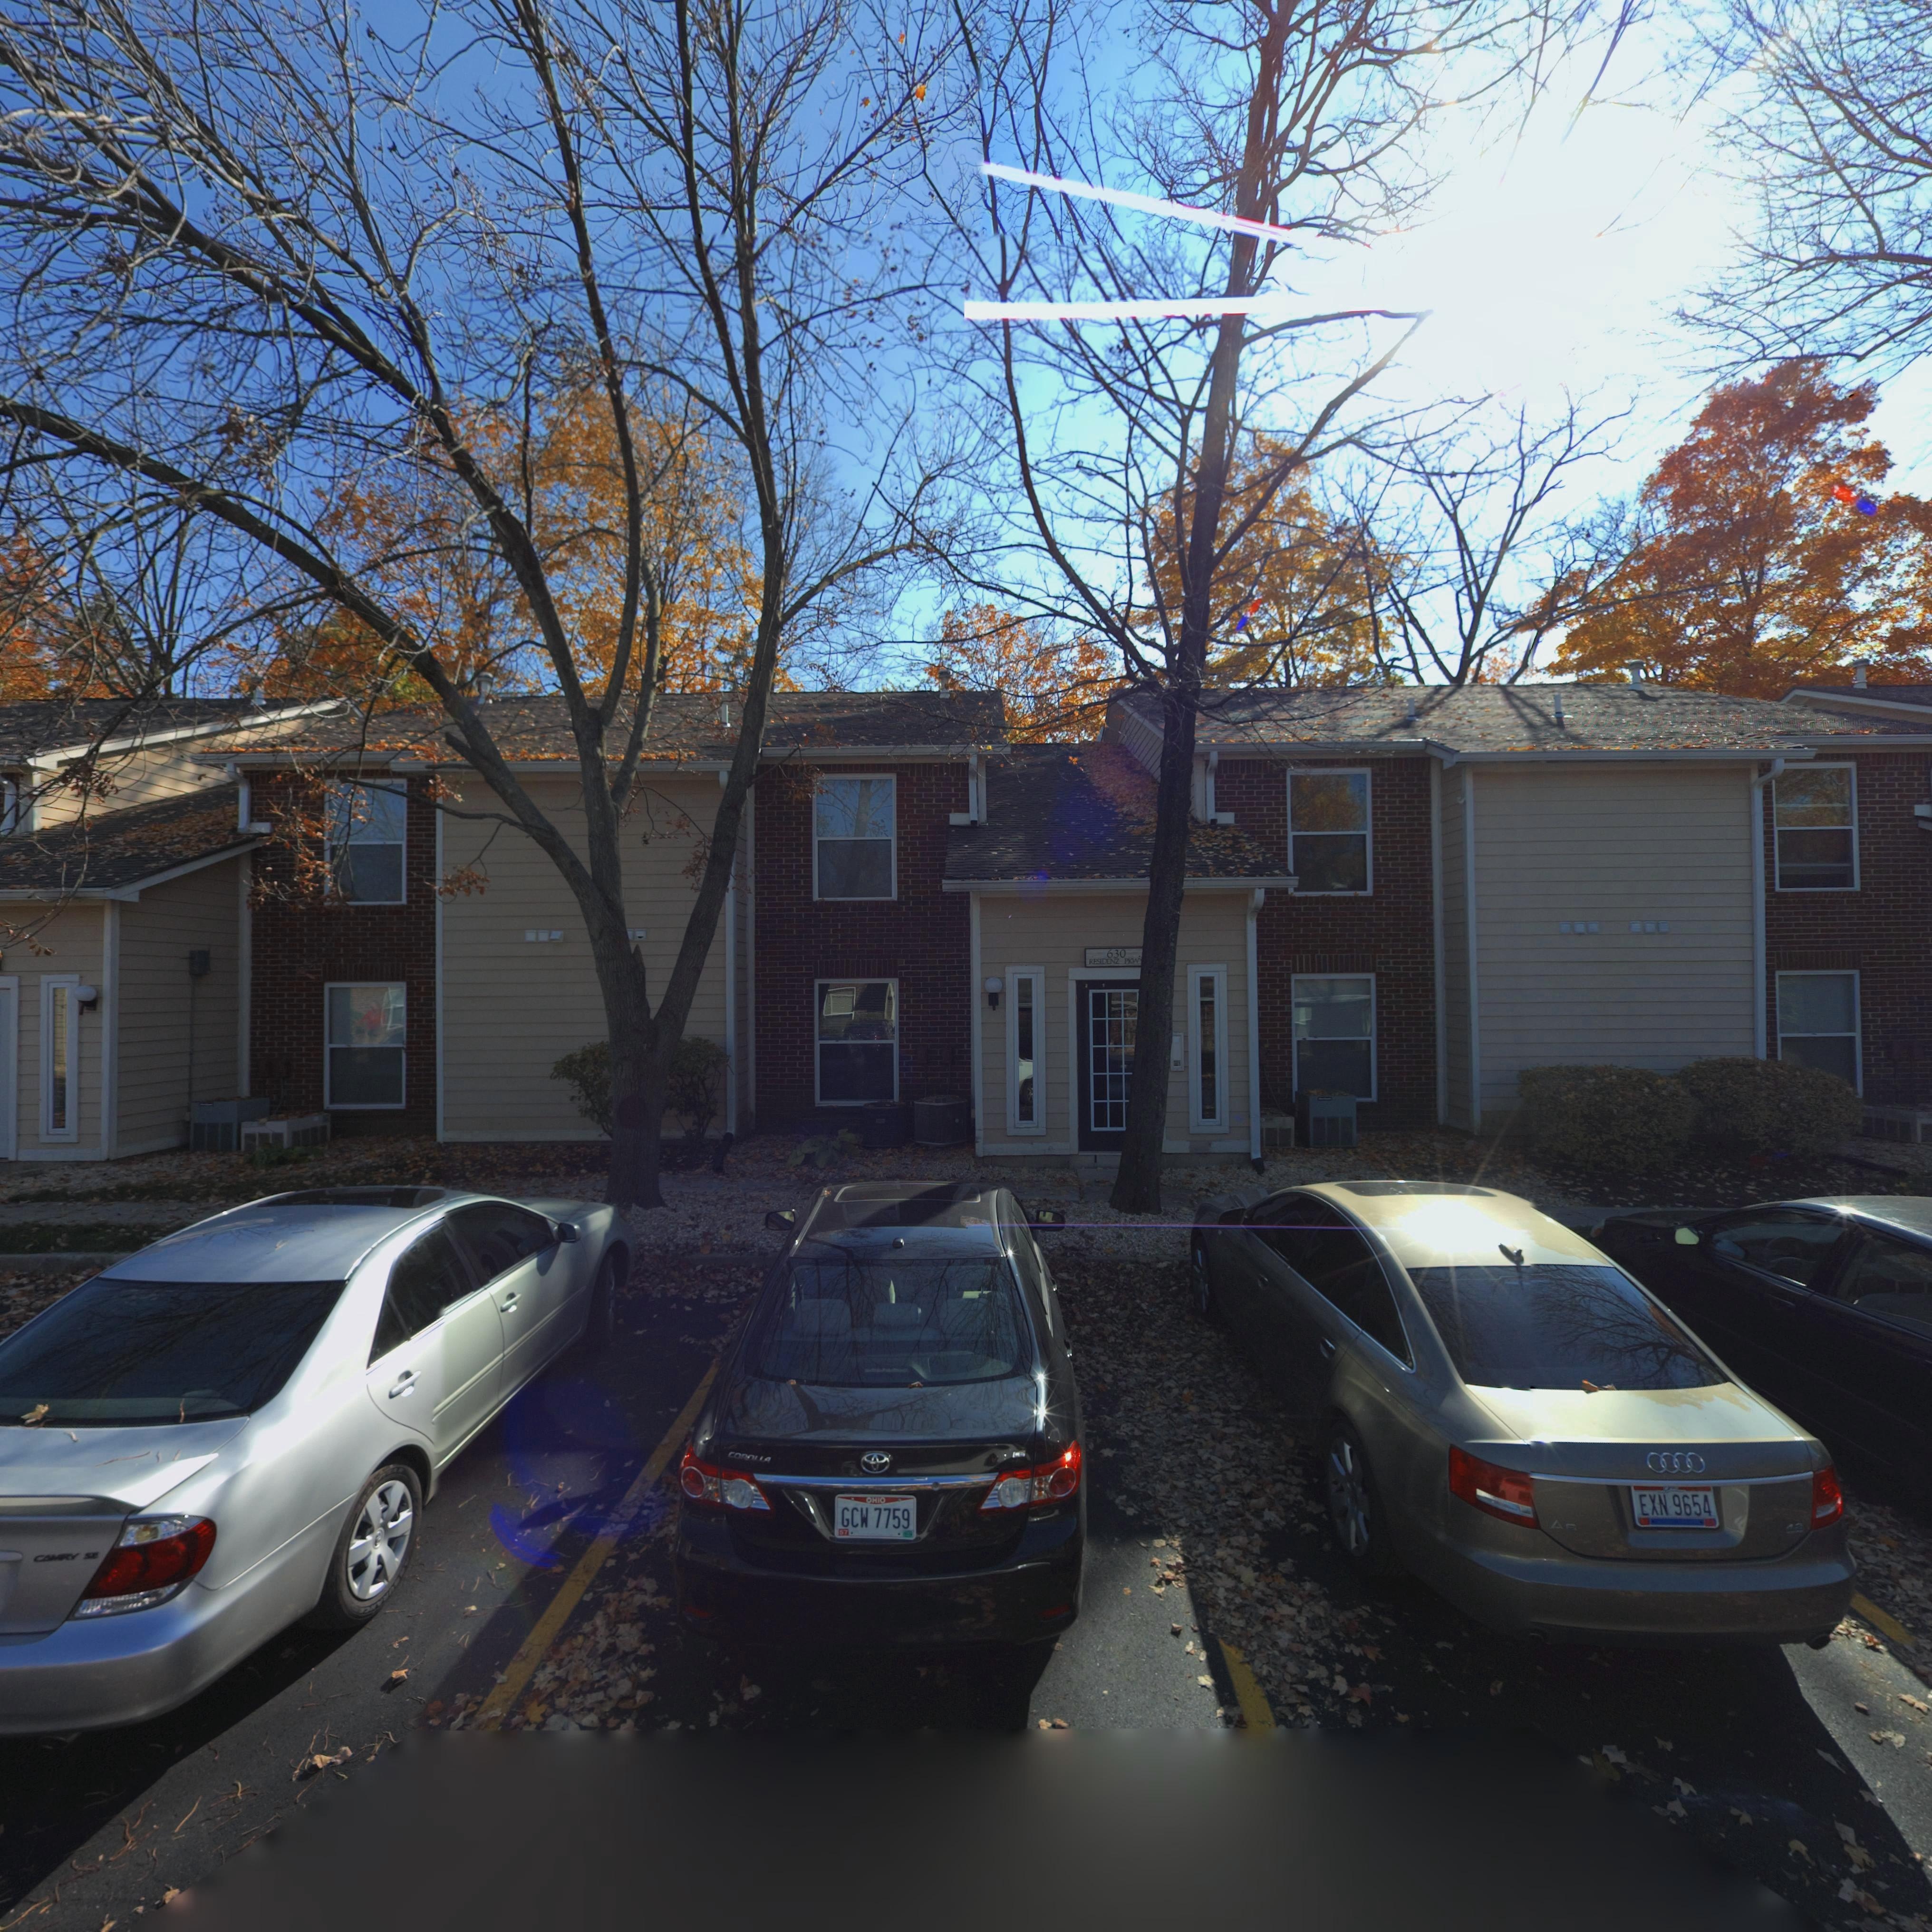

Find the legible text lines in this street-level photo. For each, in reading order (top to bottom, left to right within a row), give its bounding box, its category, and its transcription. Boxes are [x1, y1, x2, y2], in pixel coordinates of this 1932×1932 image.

[1106, 948, 1127, 959] StreetNumber: 630
[1088, 957, 1140, 966] StreetName: RESIDENZ PKW
[726, 1450, 772, 1464] None: COROLLA
[865, 1496, 887, 1505] None: OHIO
[1637, 1493, 1713, 1517] None: EXN 9654
[840, 1507, 911, 1530] None: GCW 7759
[1548, 1518, 1579, 1533] None: A*
[838, 1529, 850, 1536] None: 57
[33, 1551, 101, 1563] None: C***Y **